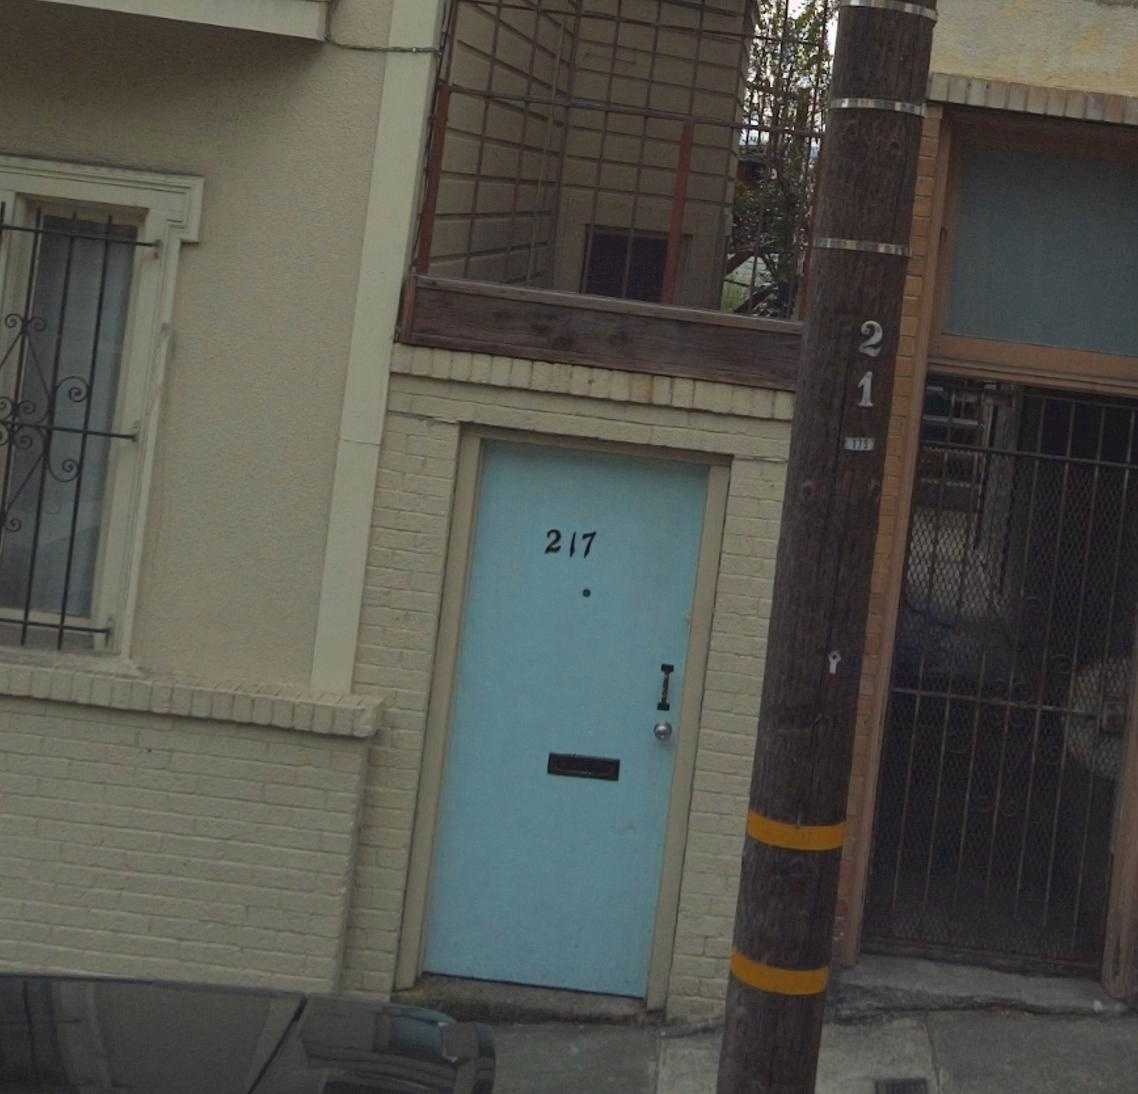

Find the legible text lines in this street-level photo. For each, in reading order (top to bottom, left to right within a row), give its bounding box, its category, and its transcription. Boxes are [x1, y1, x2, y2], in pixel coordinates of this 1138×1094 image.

[854, 315, 886, 411] None: 21
[849, 437, 871, 451] None: 175
[538, 524, 602, 562] StreetNumber: 217